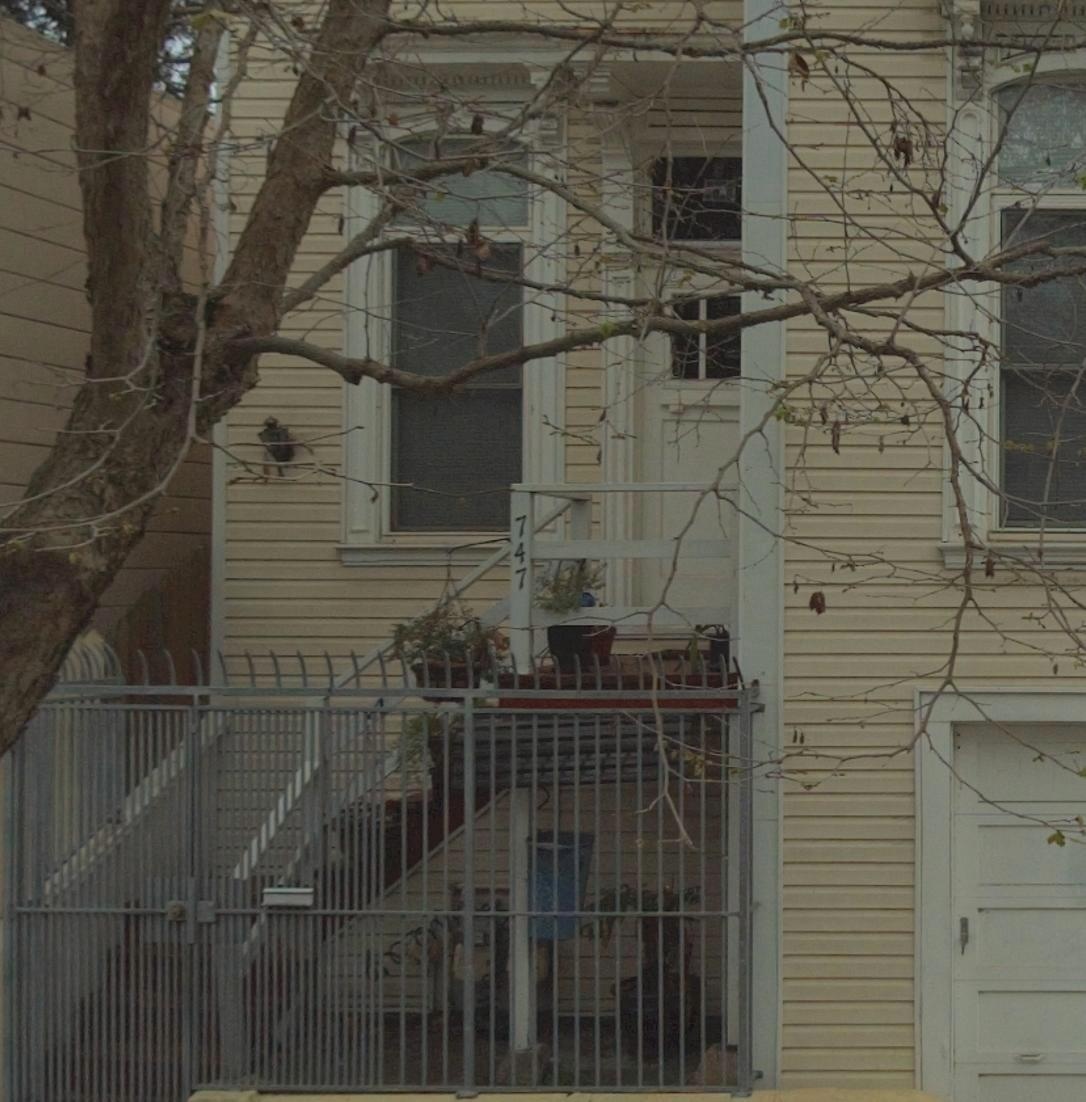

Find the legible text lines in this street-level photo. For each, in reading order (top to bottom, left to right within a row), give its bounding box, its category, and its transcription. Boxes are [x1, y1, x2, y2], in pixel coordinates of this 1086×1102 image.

[512, 513, 529, 592] StreetNumber: 747